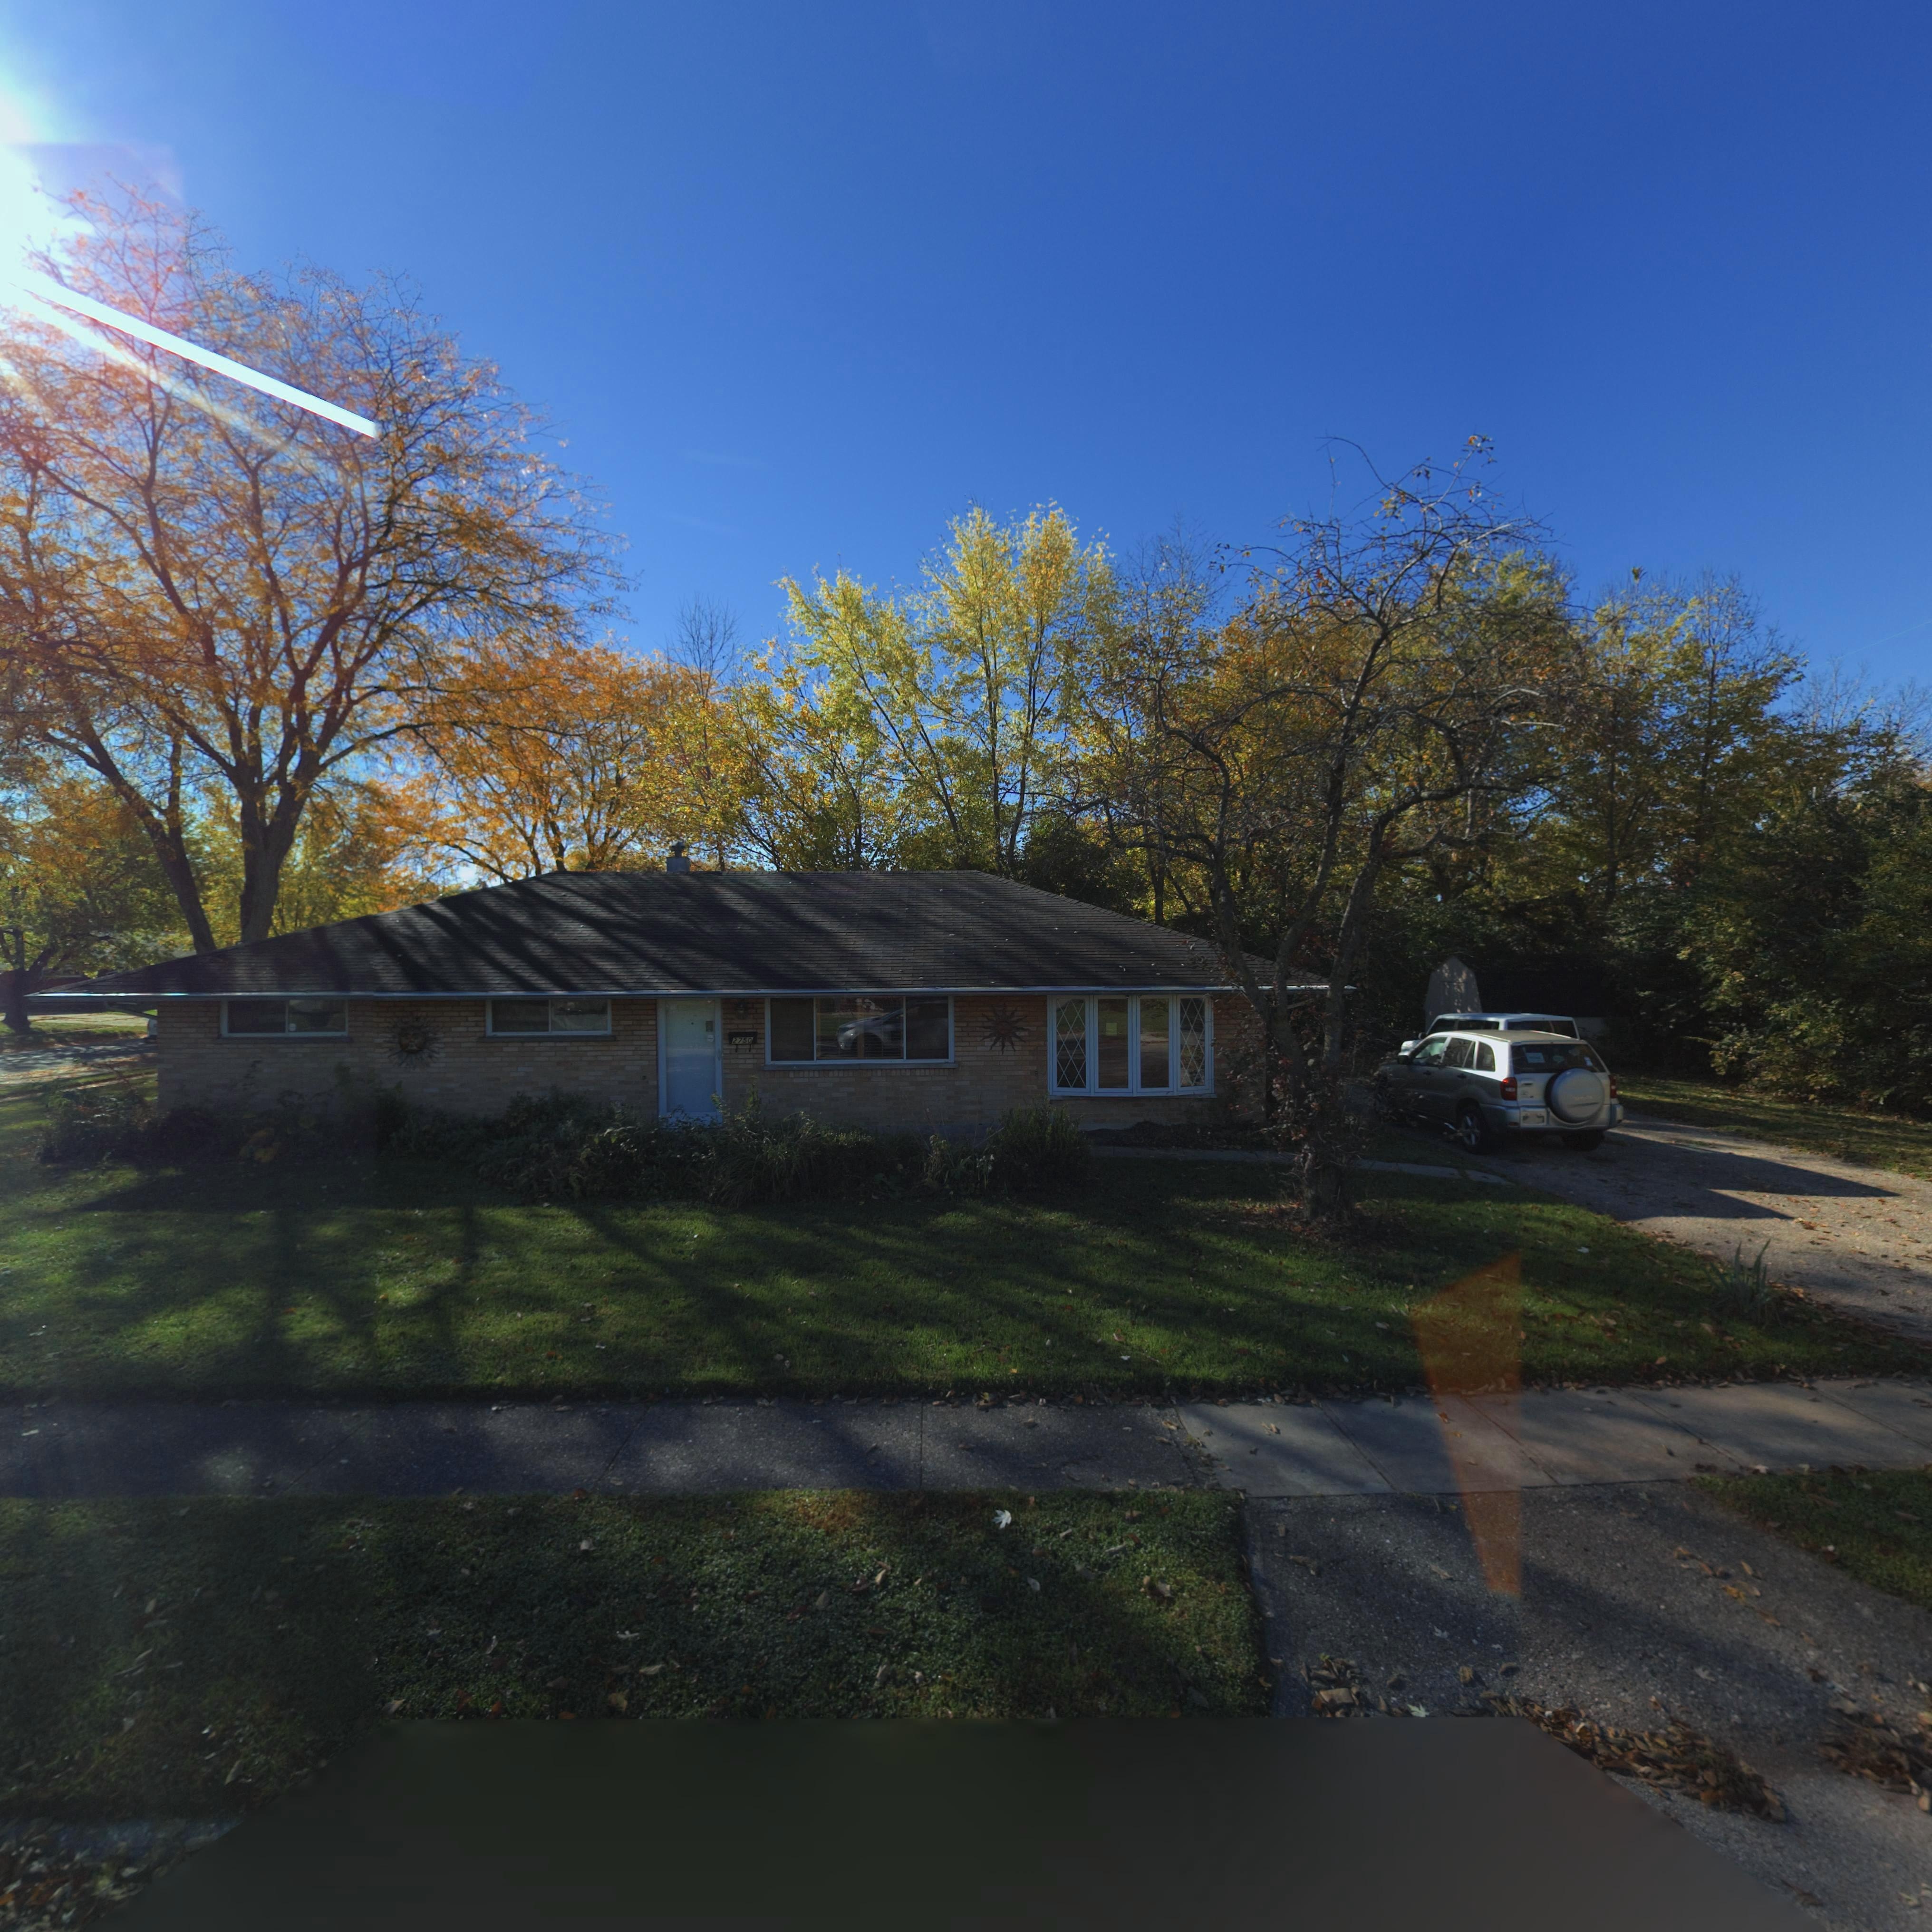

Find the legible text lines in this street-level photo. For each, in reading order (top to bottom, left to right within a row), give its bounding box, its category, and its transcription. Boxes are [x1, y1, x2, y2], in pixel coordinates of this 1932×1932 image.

[732, 1037, 752, 1044] StreetNumber: 2750